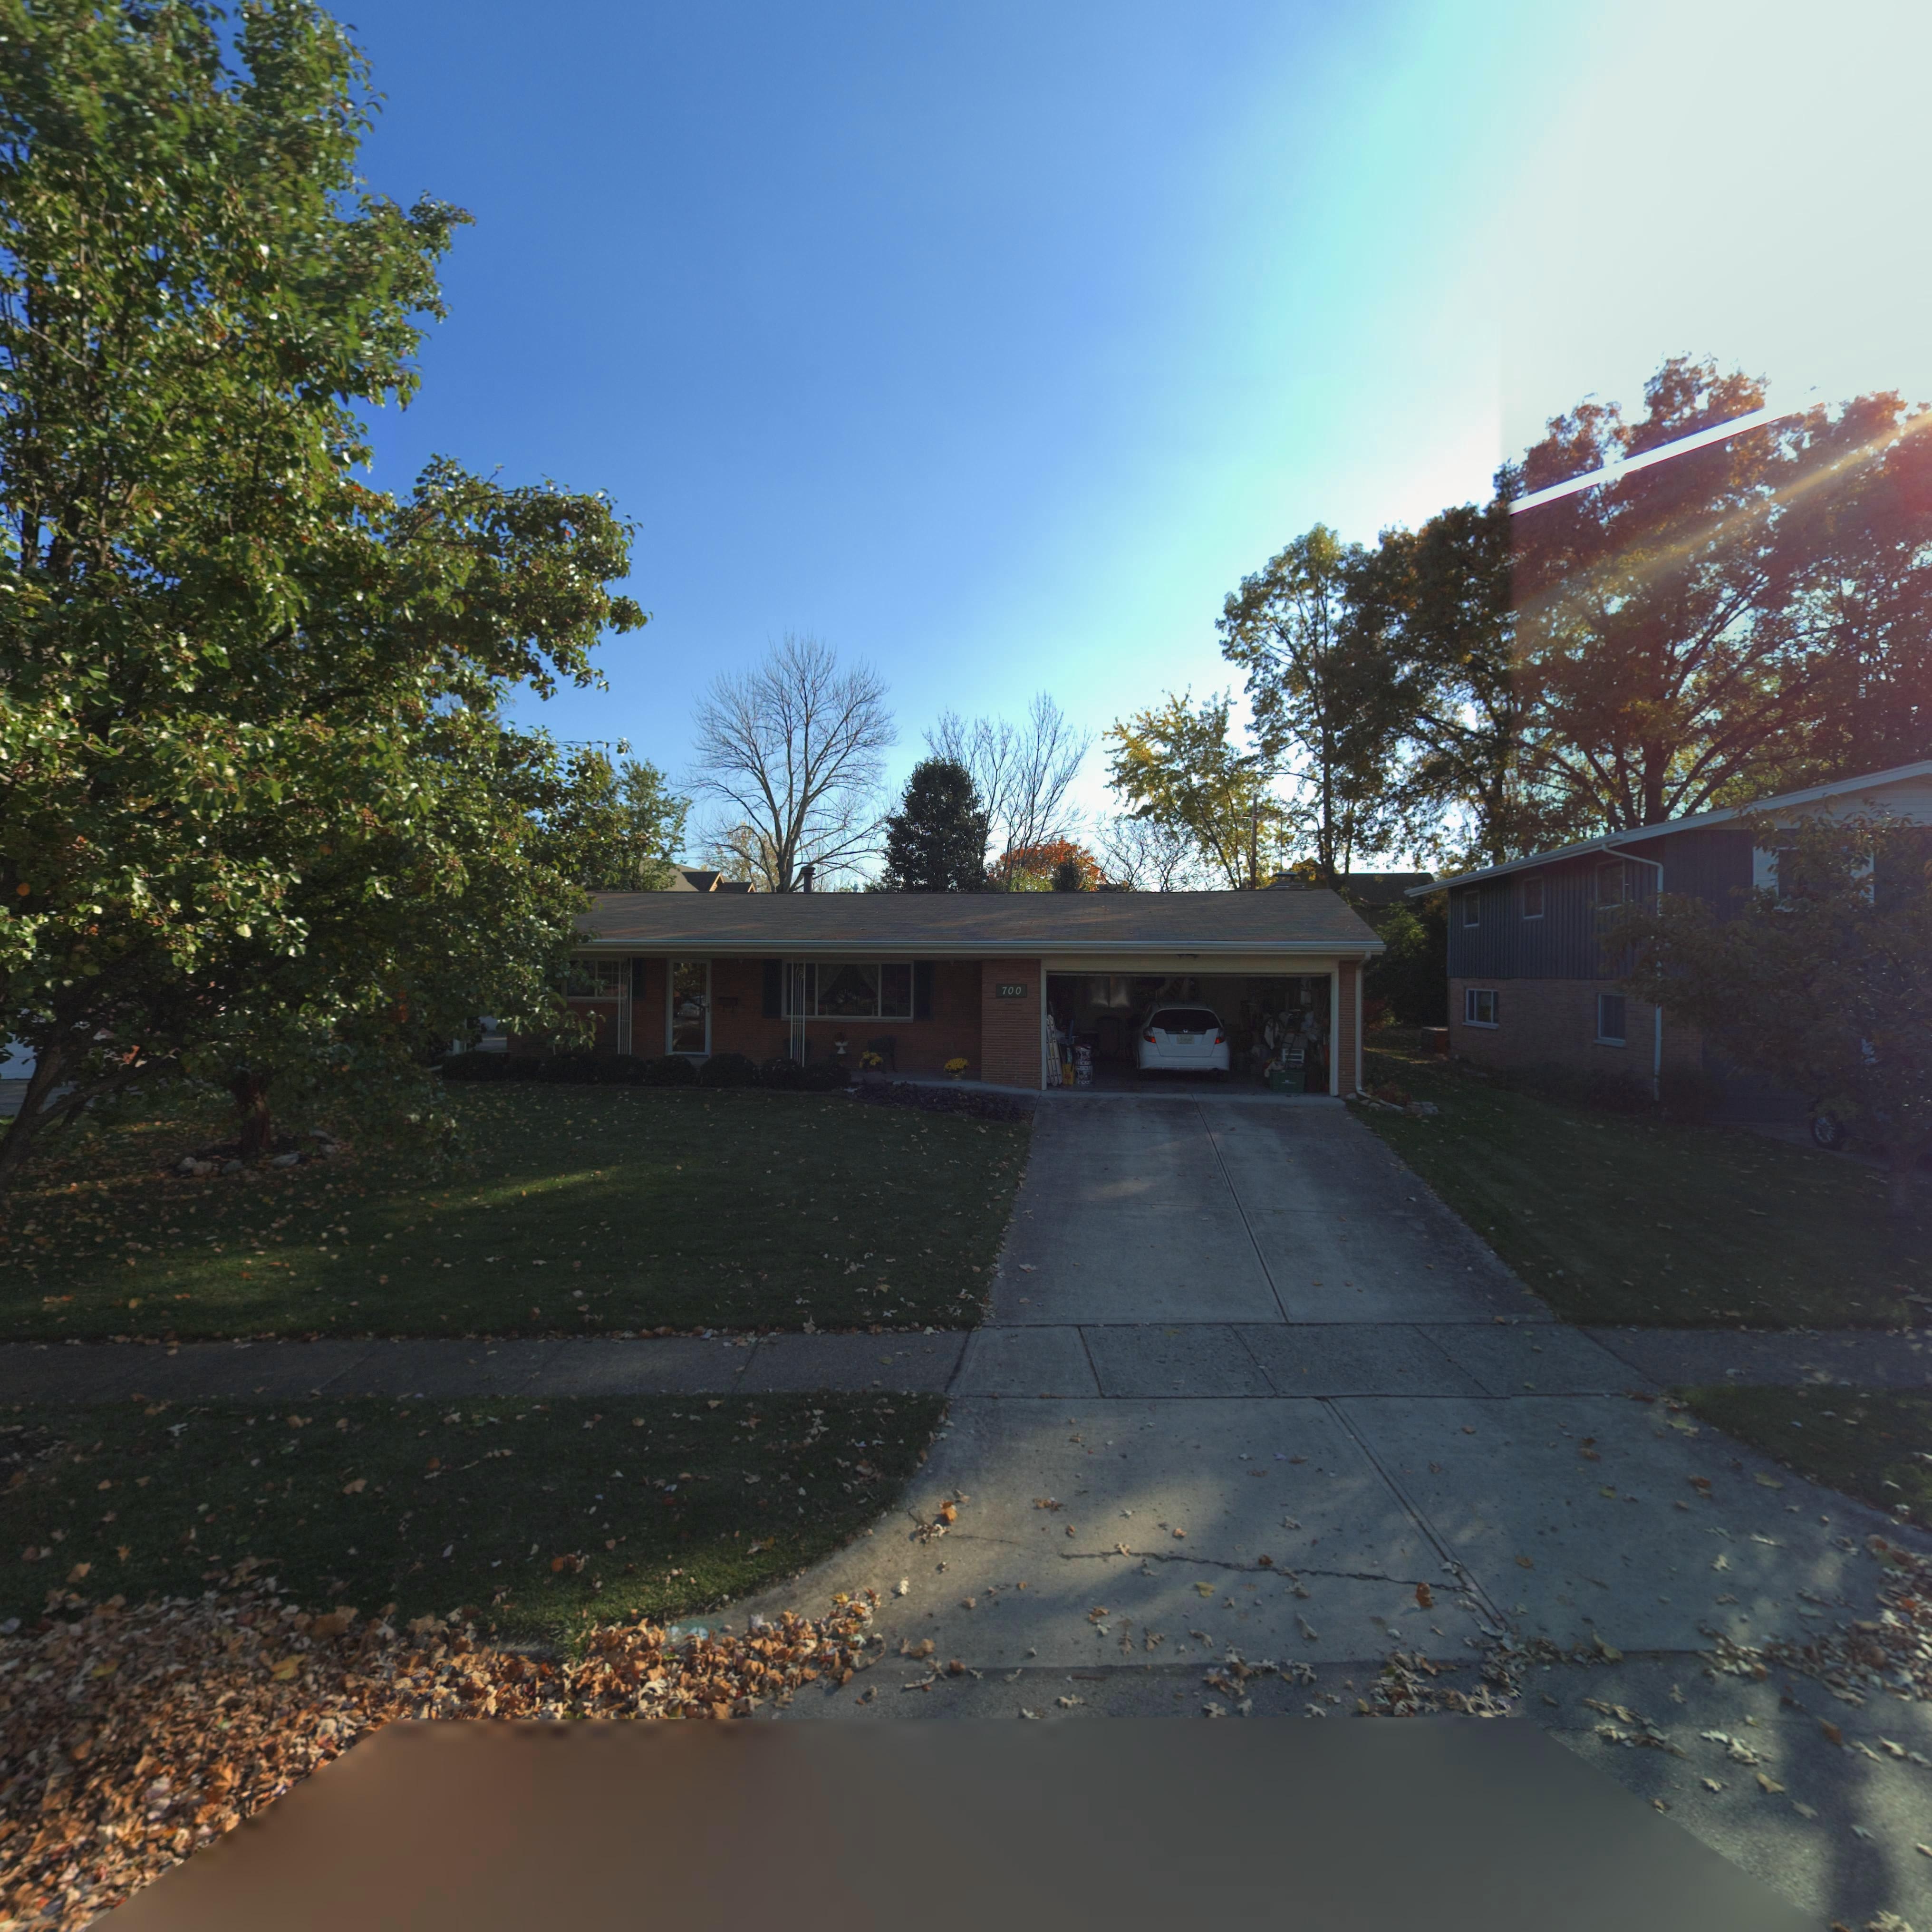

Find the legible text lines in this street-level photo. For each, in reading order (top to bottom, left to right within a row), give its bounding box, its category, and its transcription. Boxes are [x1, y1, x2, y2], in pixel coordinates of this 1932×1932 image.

[1001, 985, 1023, 996] StreetNumber: 700